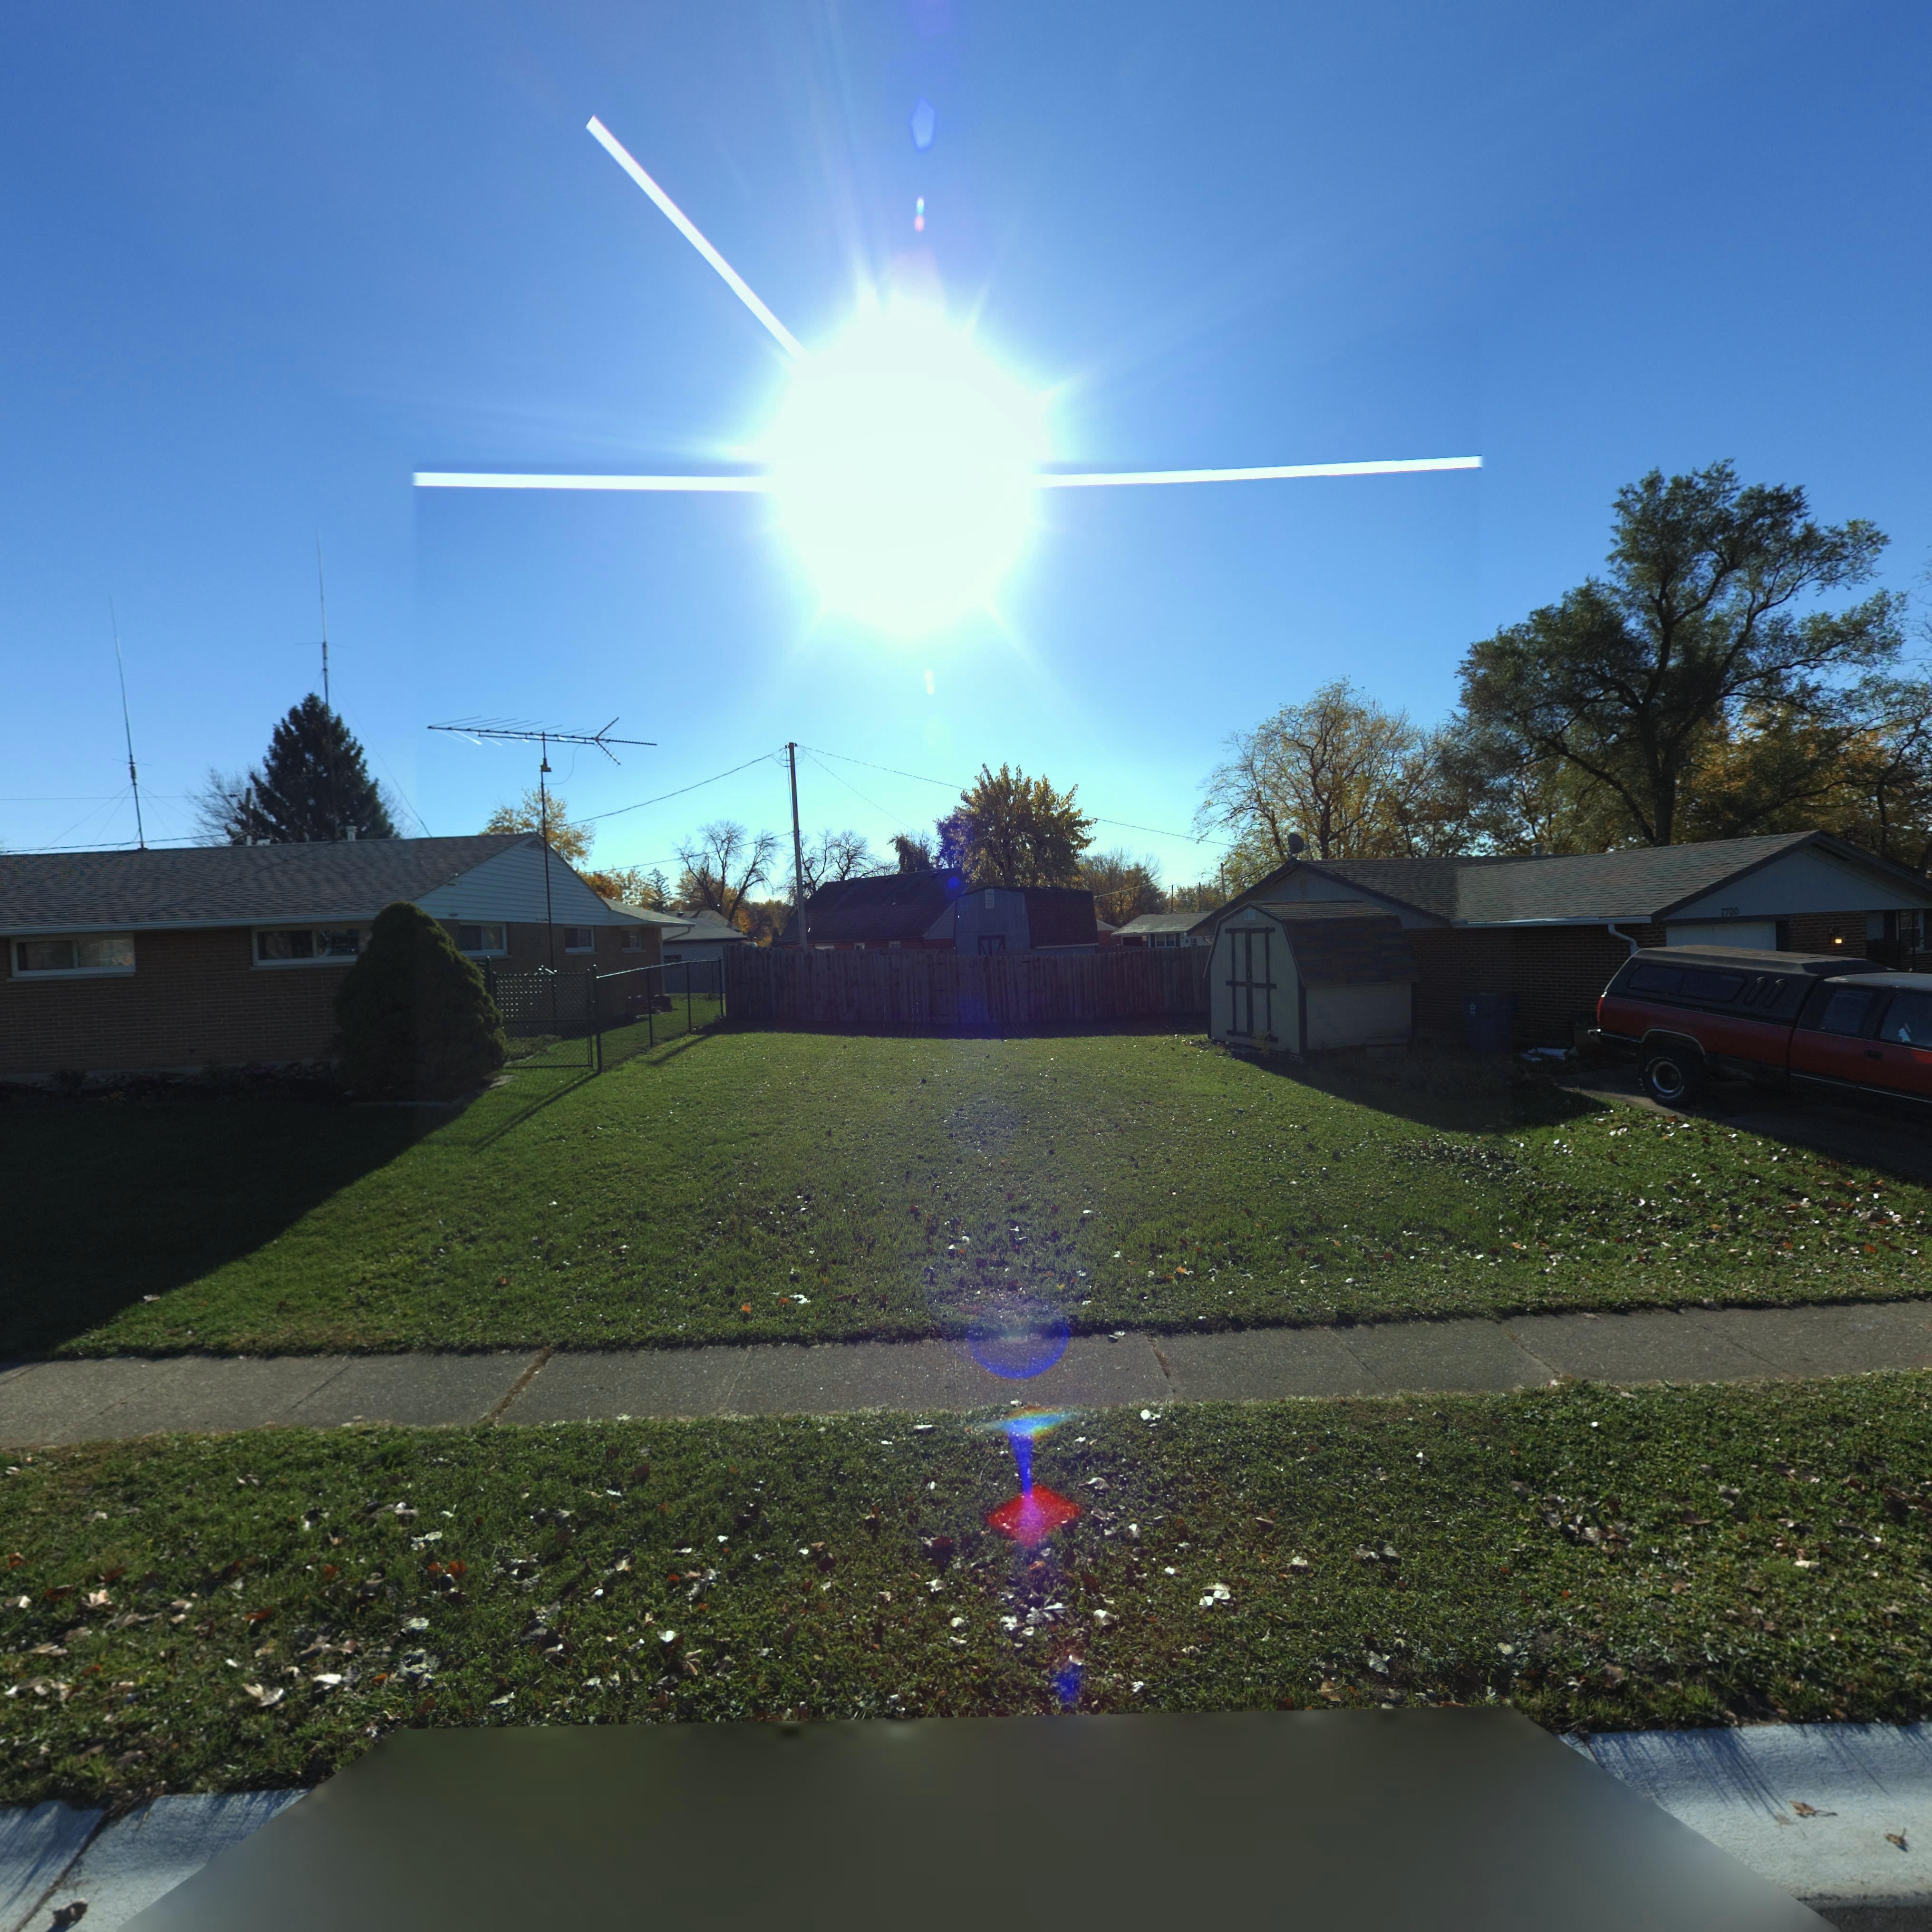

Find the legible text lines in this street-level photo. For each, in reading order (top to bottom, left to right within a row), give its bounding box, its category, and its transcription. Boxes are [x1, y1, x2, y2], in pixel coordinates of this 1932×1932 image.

[1719, 906, 1740, 918] StreetNumber: 7700